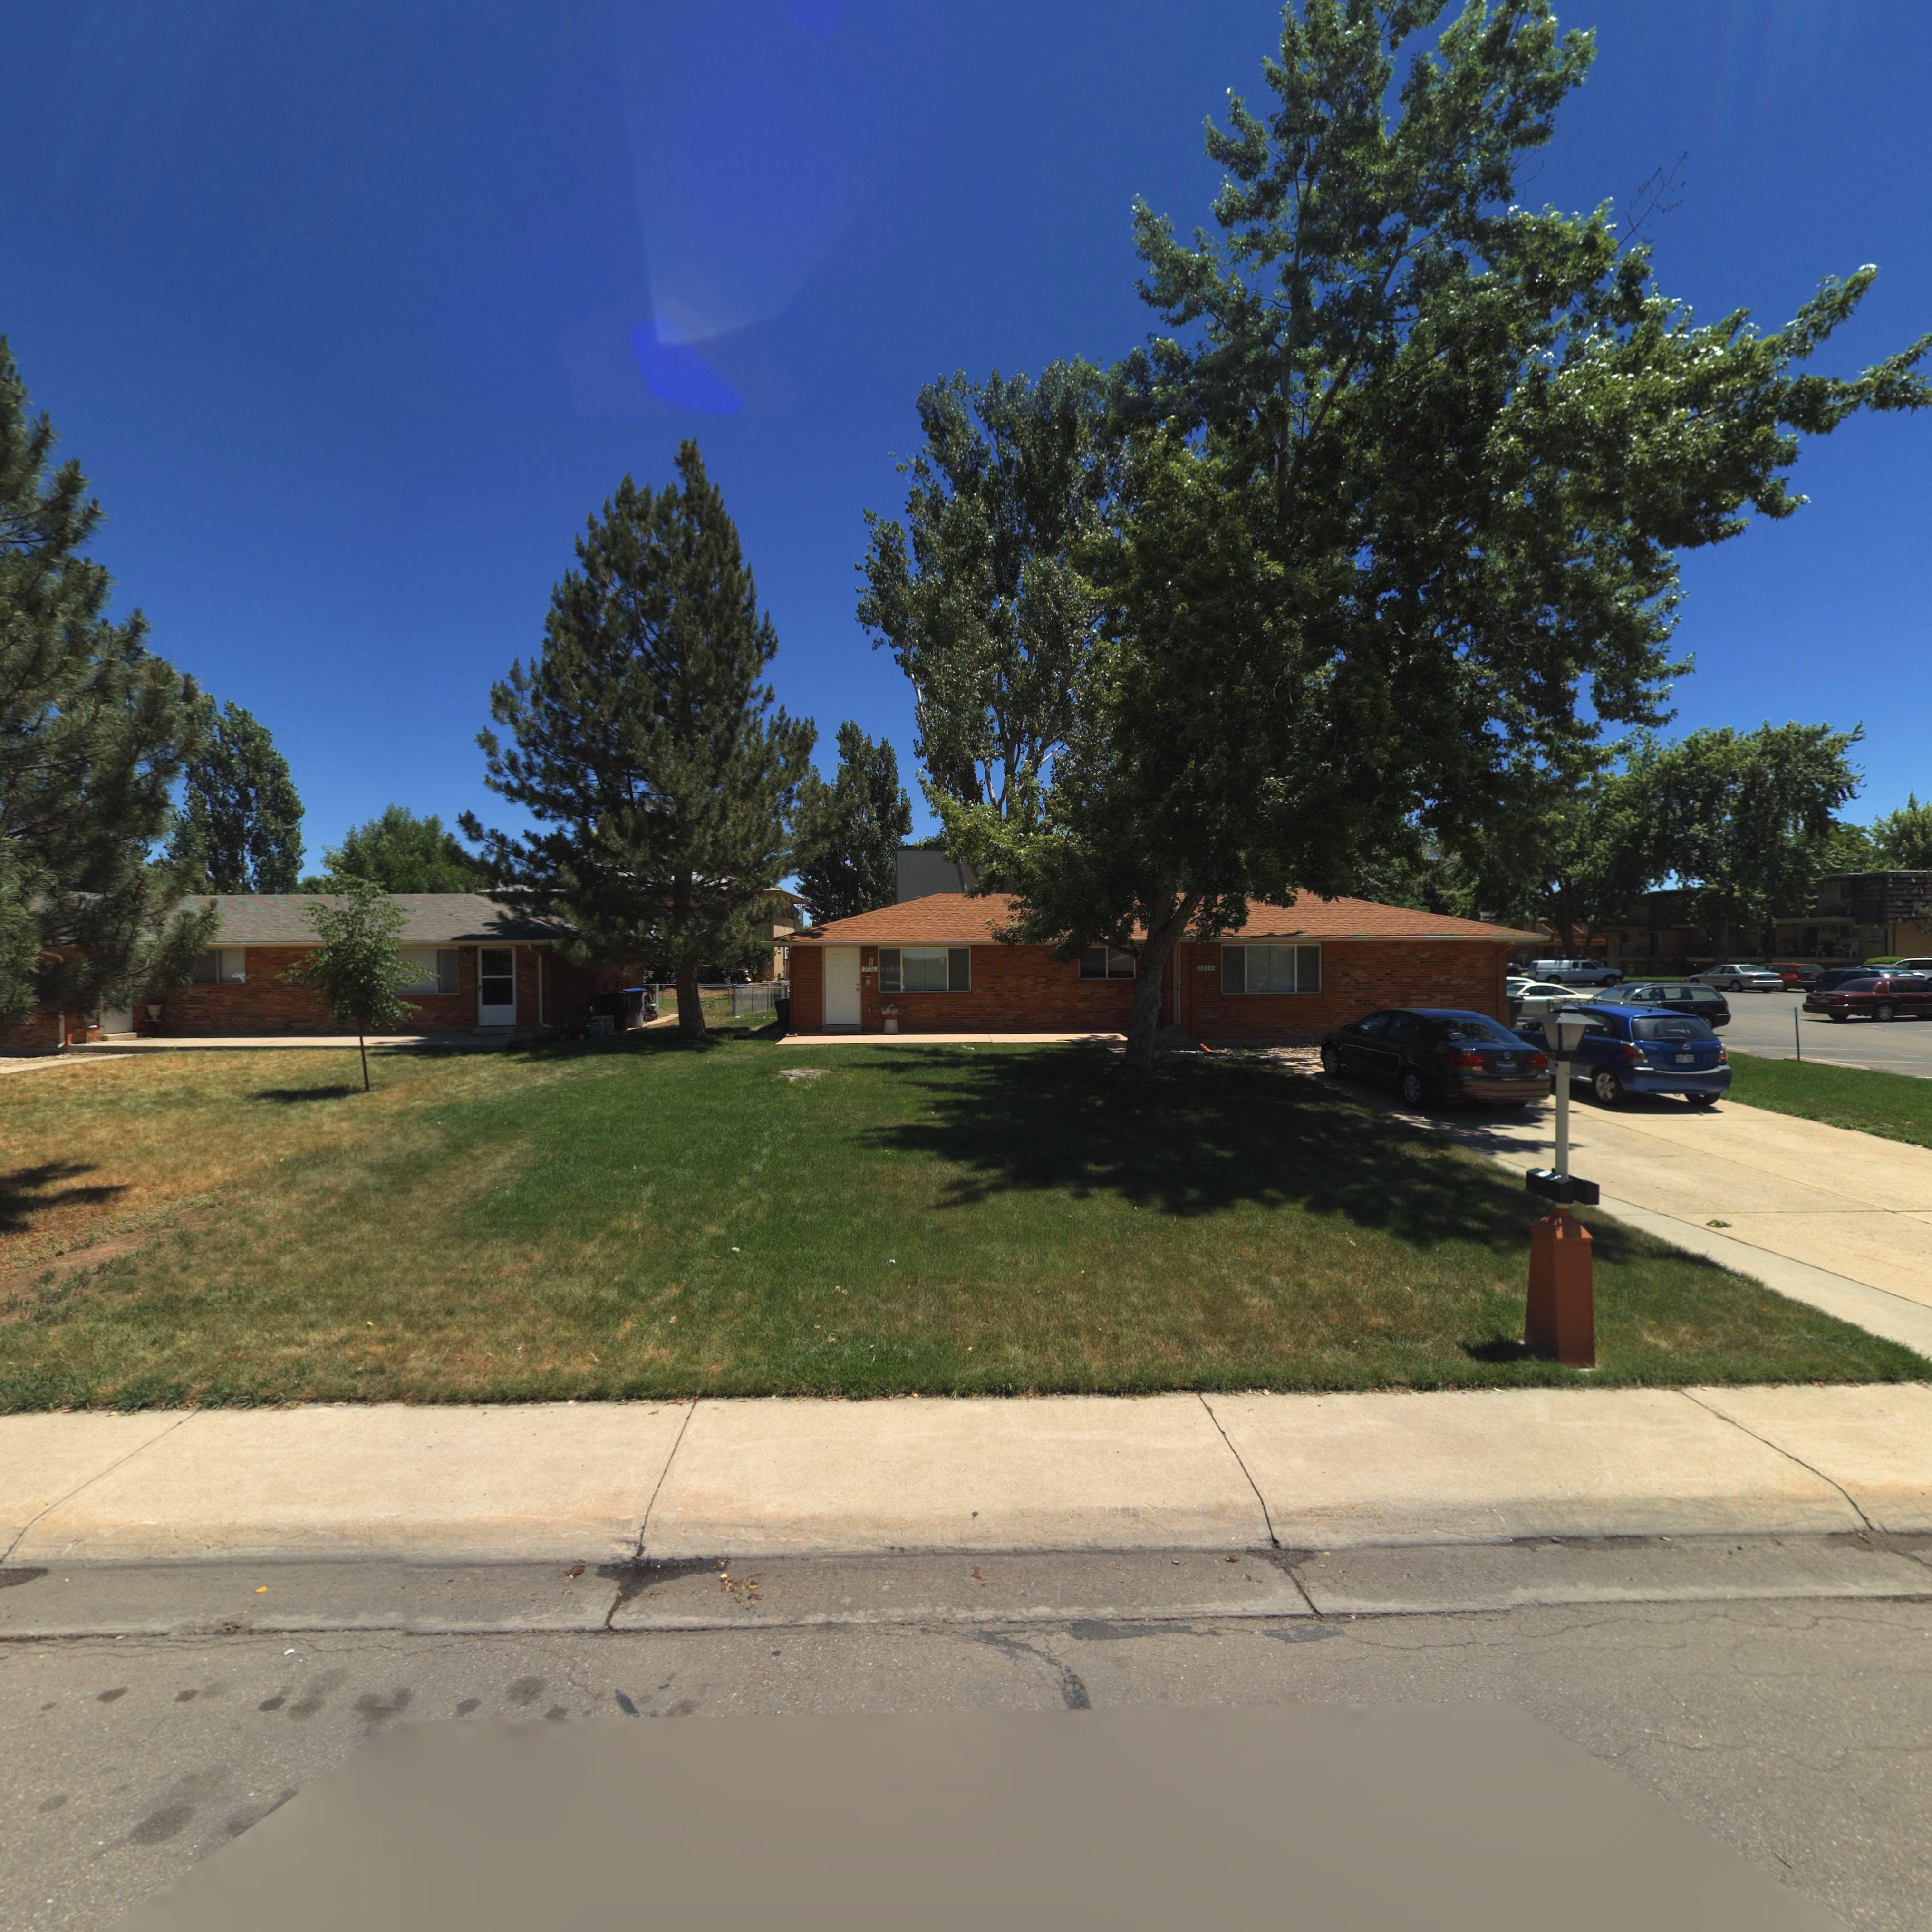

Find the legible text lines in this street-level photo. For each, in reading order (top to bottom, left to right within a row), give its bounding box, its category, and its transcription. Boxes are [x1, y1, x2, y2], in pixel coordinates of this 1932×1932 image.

[863, 966, 876, 972] StreetNumber: 2026
[1197, 966, 1213, 970] StreetNumber: 2024